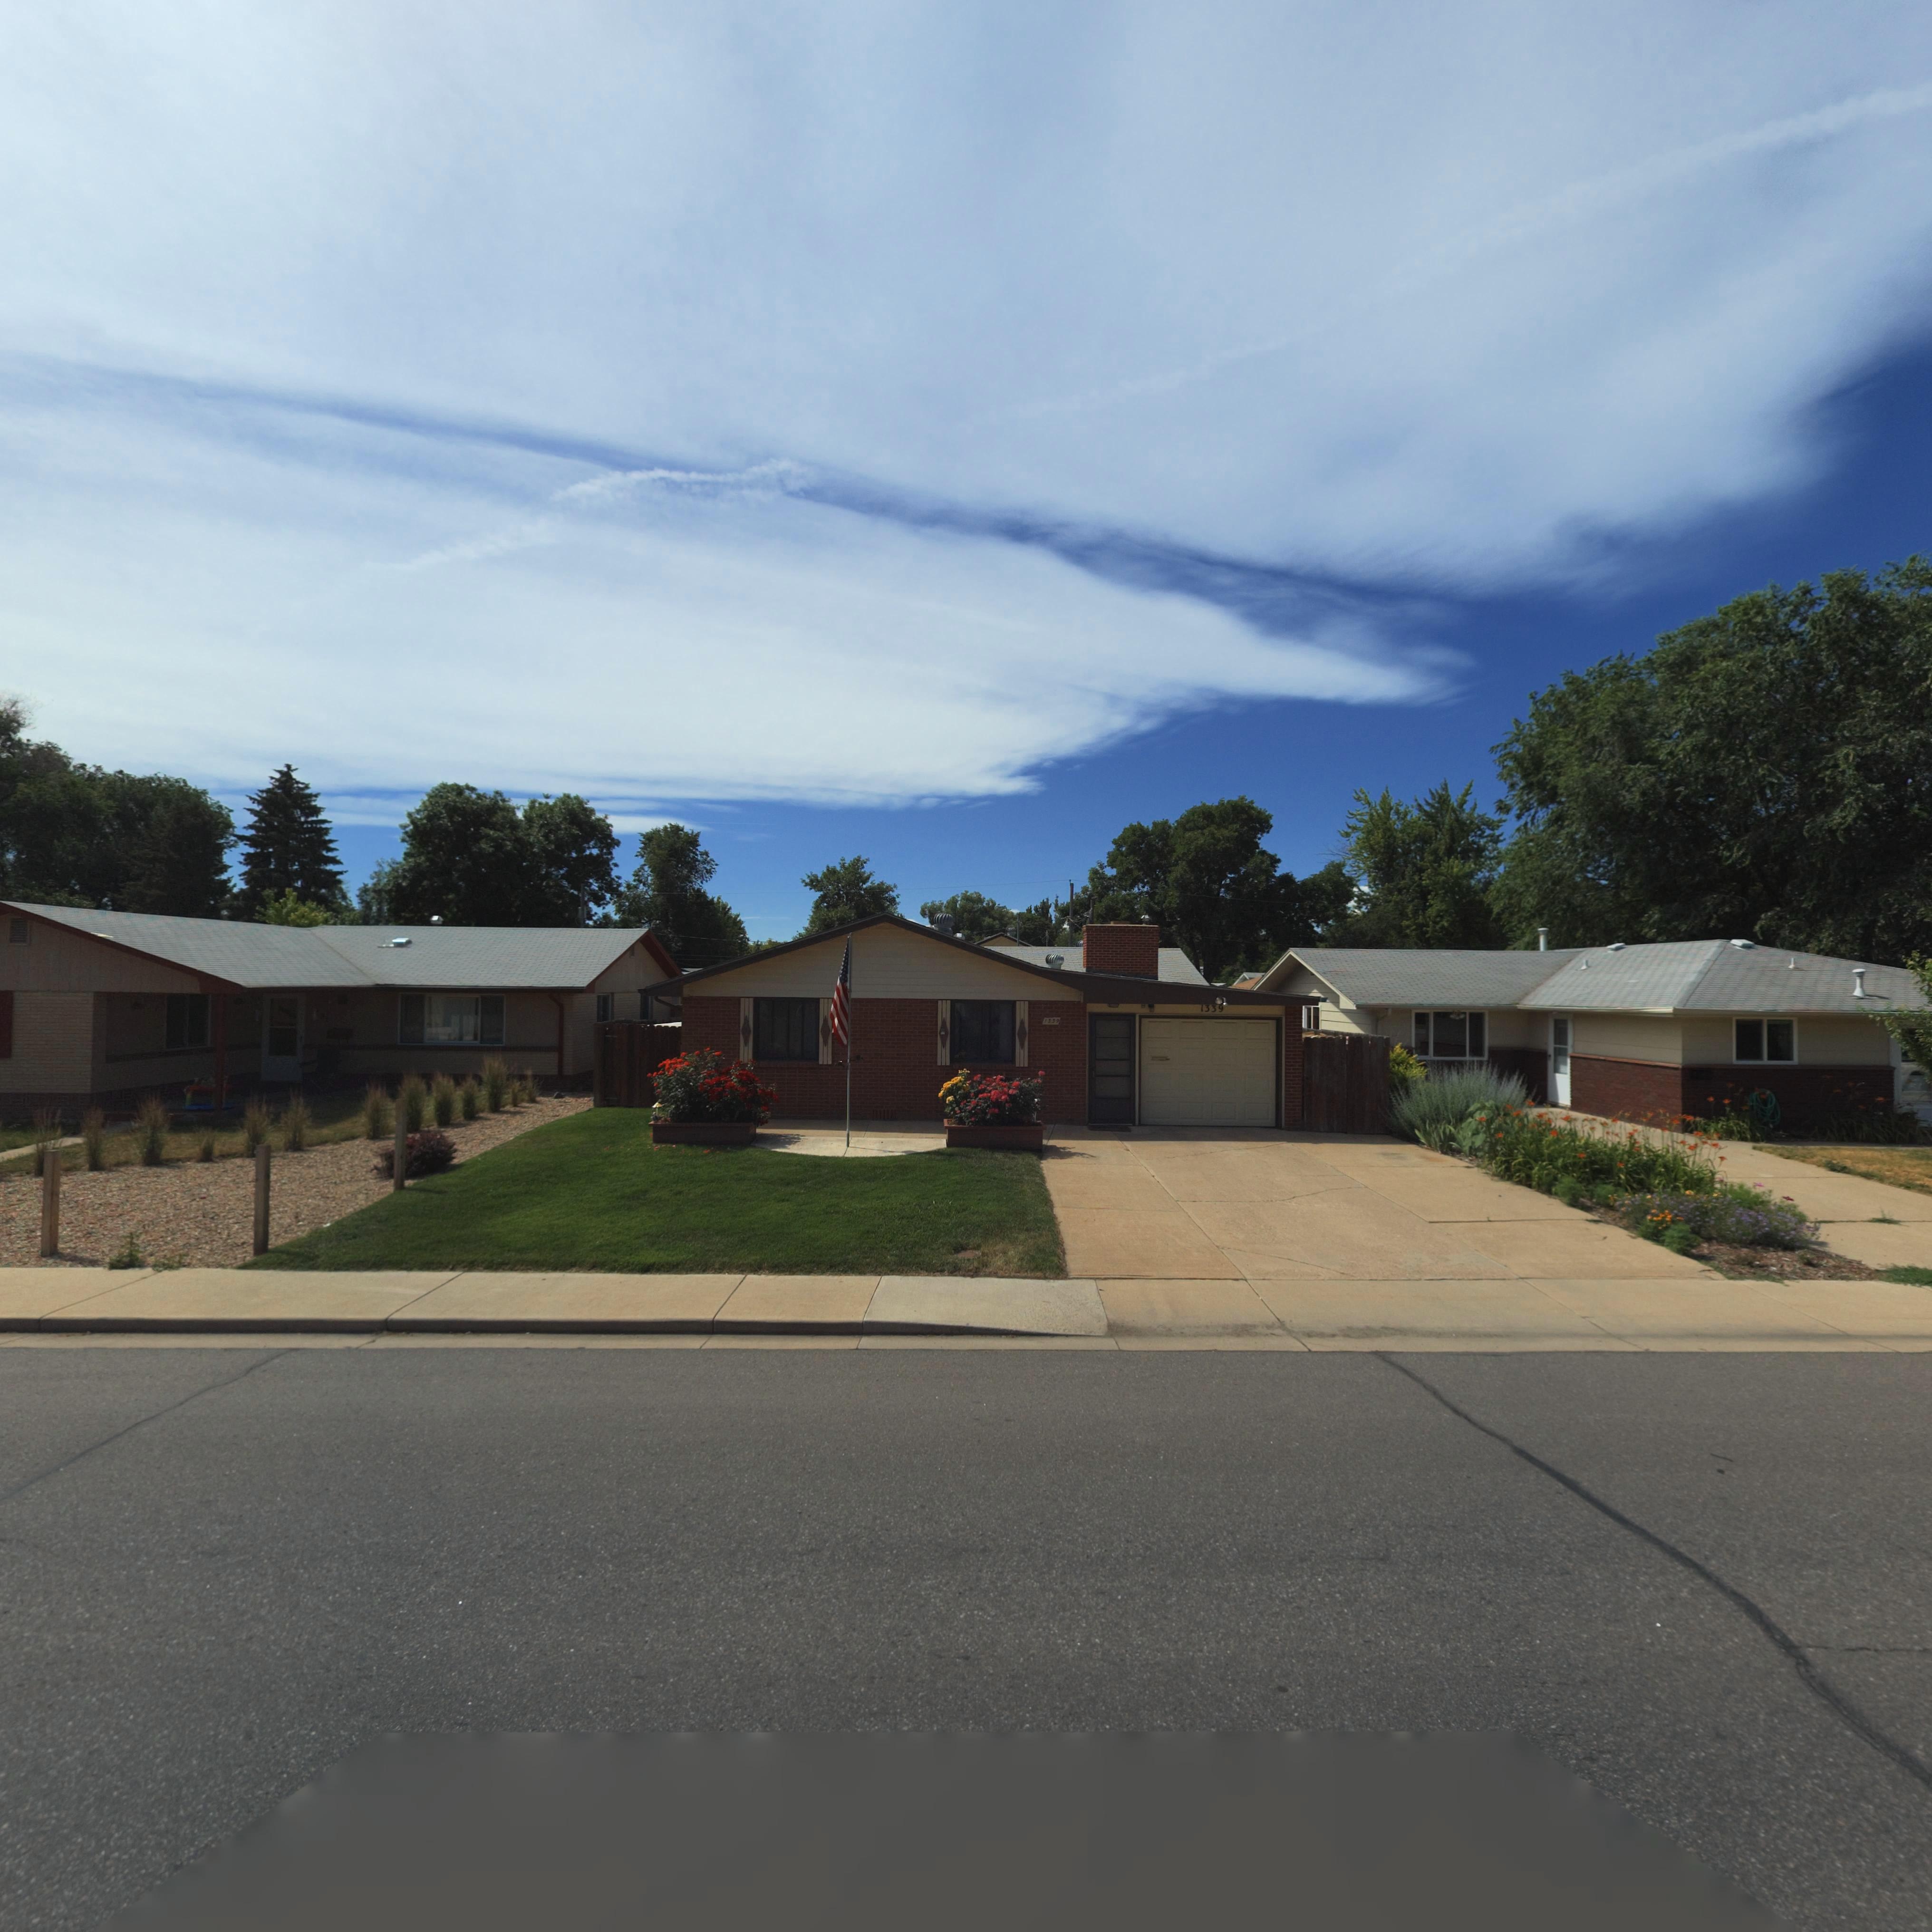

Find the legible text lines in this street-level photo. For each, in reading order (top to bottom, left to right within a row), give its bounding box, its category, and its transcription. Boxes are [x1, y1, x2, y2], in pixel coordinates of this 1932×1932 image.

[1200, 1004, 1224, 1013] StreetNumber: 1339
[1043, 1018, 1059, 1023] StreetNumber: 1339